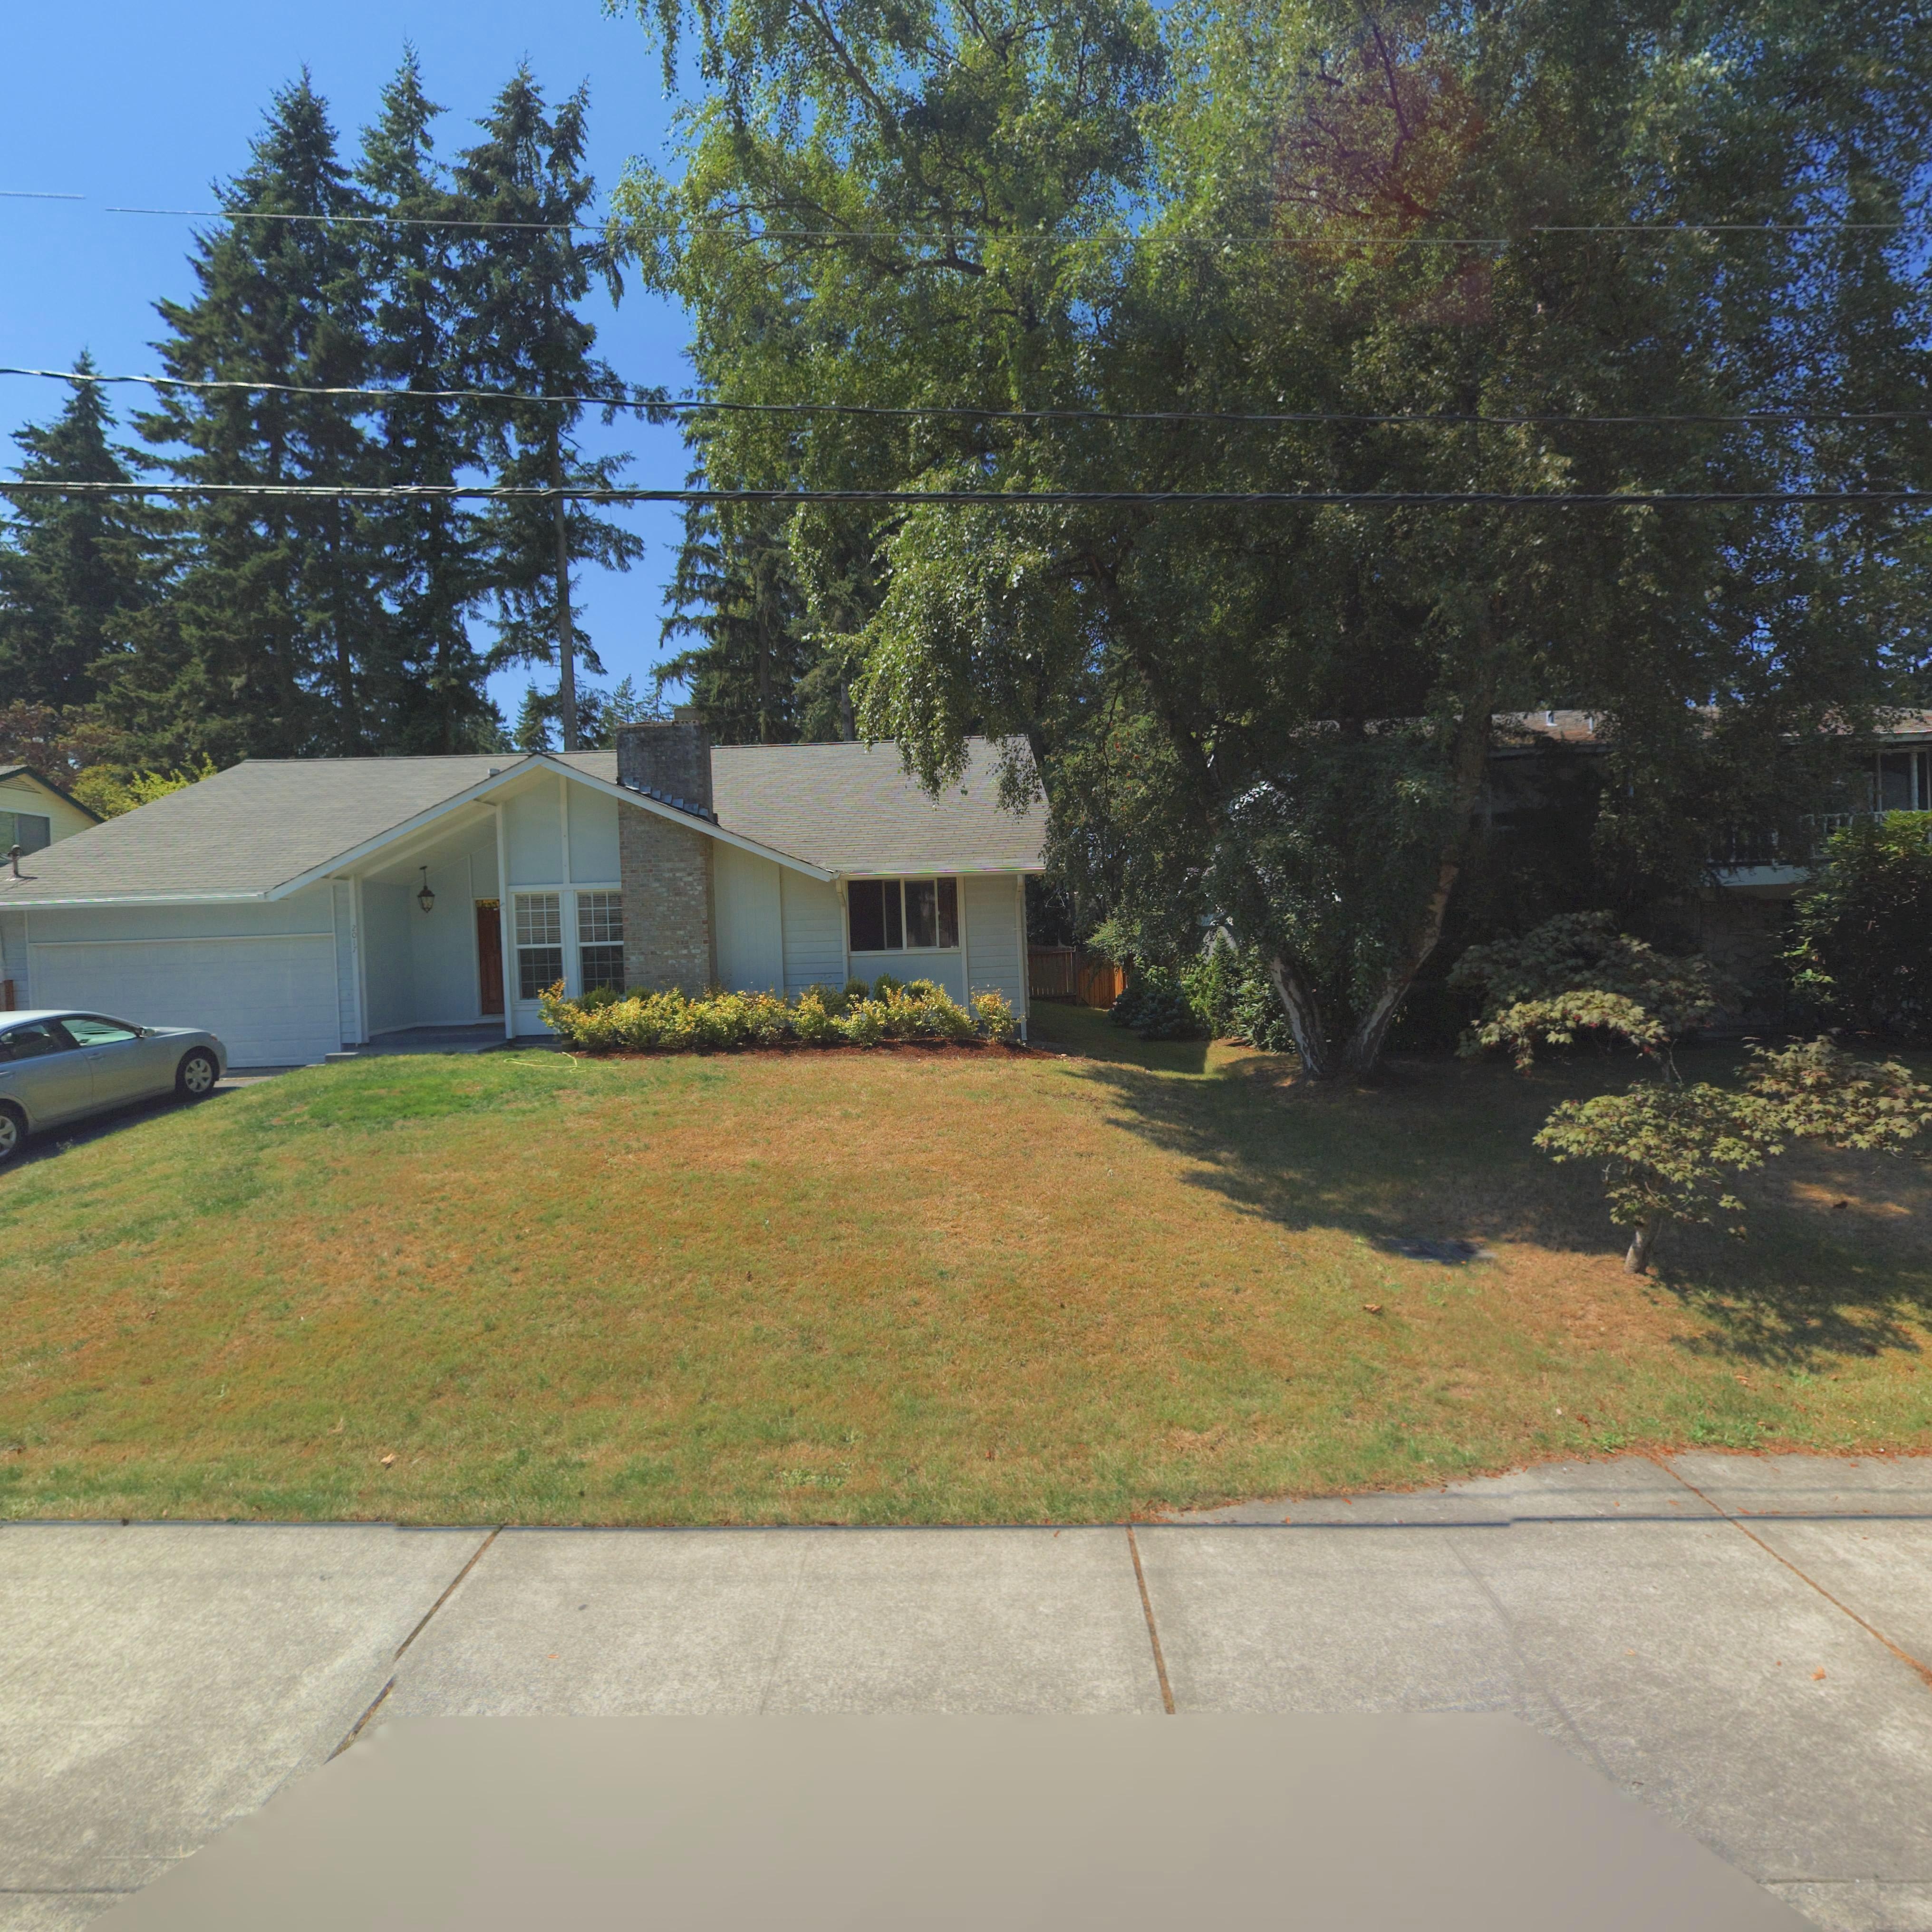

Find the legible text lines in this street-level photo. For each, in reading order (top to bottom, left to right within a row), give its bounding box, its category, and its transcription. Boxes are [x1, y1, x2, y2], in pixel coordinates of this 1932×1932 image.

[351, 923, 357, 954] StreetNumber: 2017